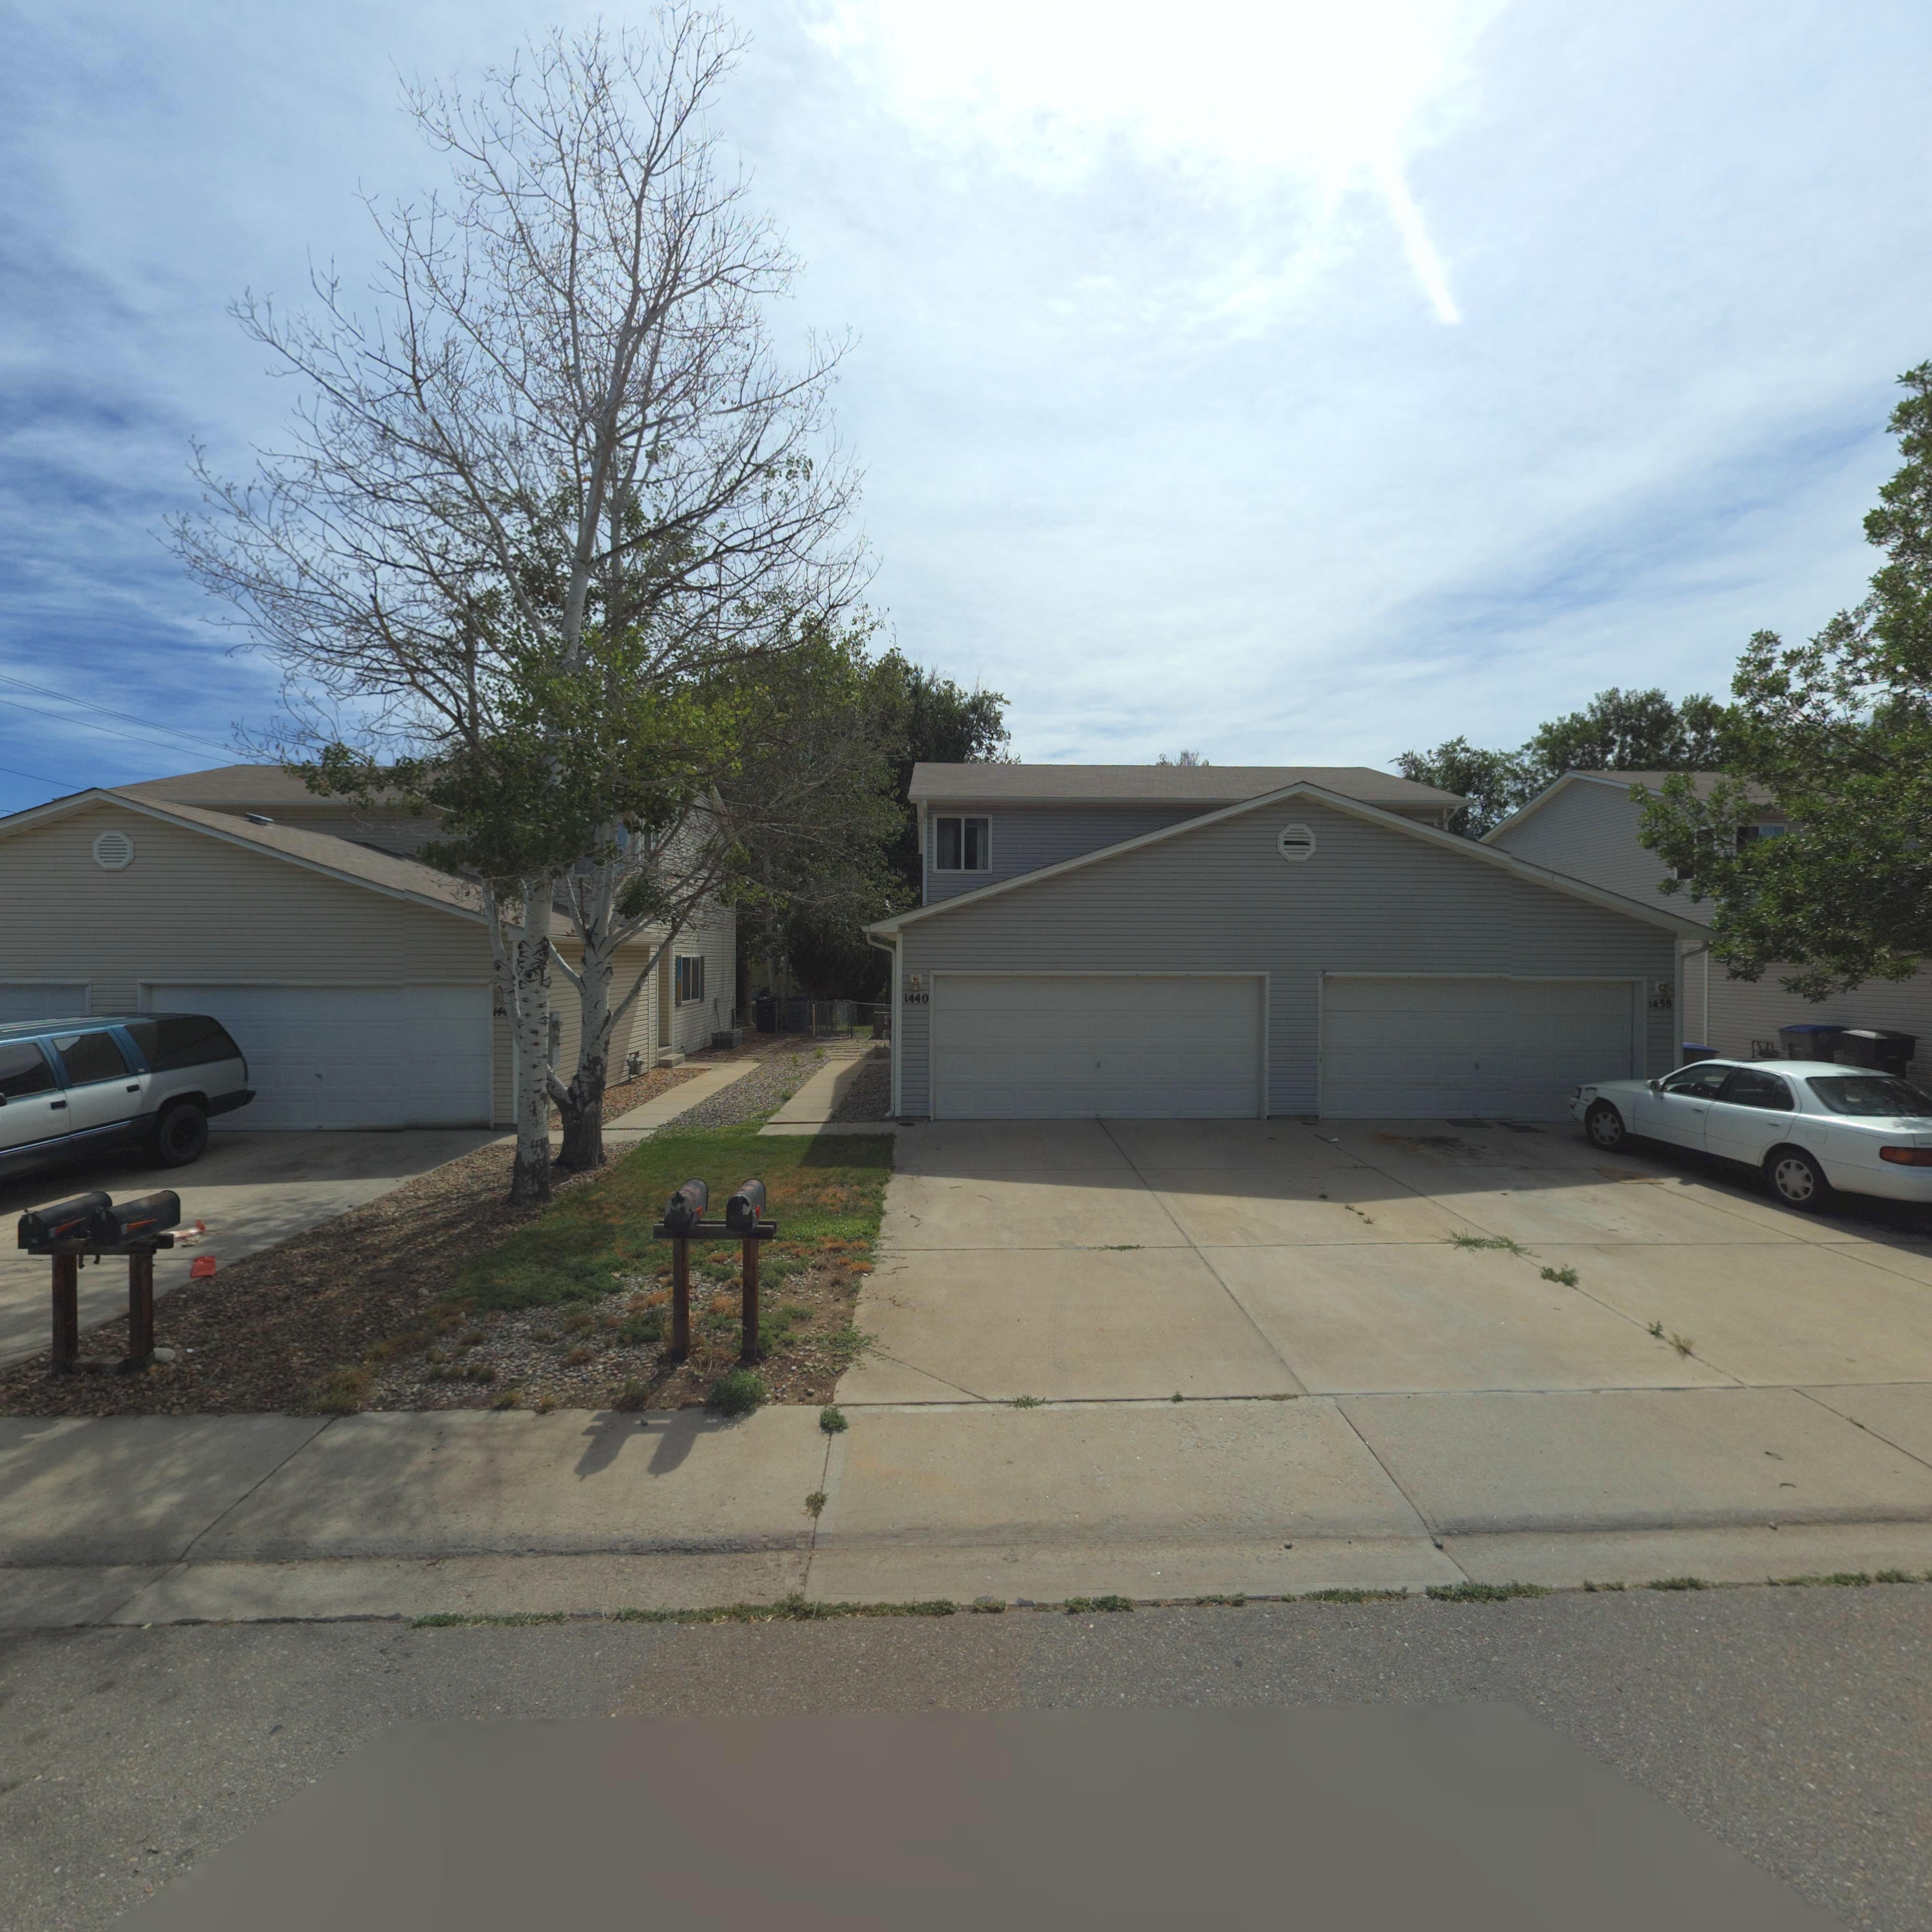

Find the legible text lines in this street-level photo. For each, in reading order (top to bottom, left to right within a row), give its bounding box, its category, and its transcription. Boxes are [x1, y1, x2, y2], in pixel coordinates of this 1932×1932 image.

[904, 993, 928, 1003] StreetNumber: 1440
[1648, 998, 1672, 1008] StreetNumber: 1438
[493, 1006, 503, 1016] StreetNumber: 14